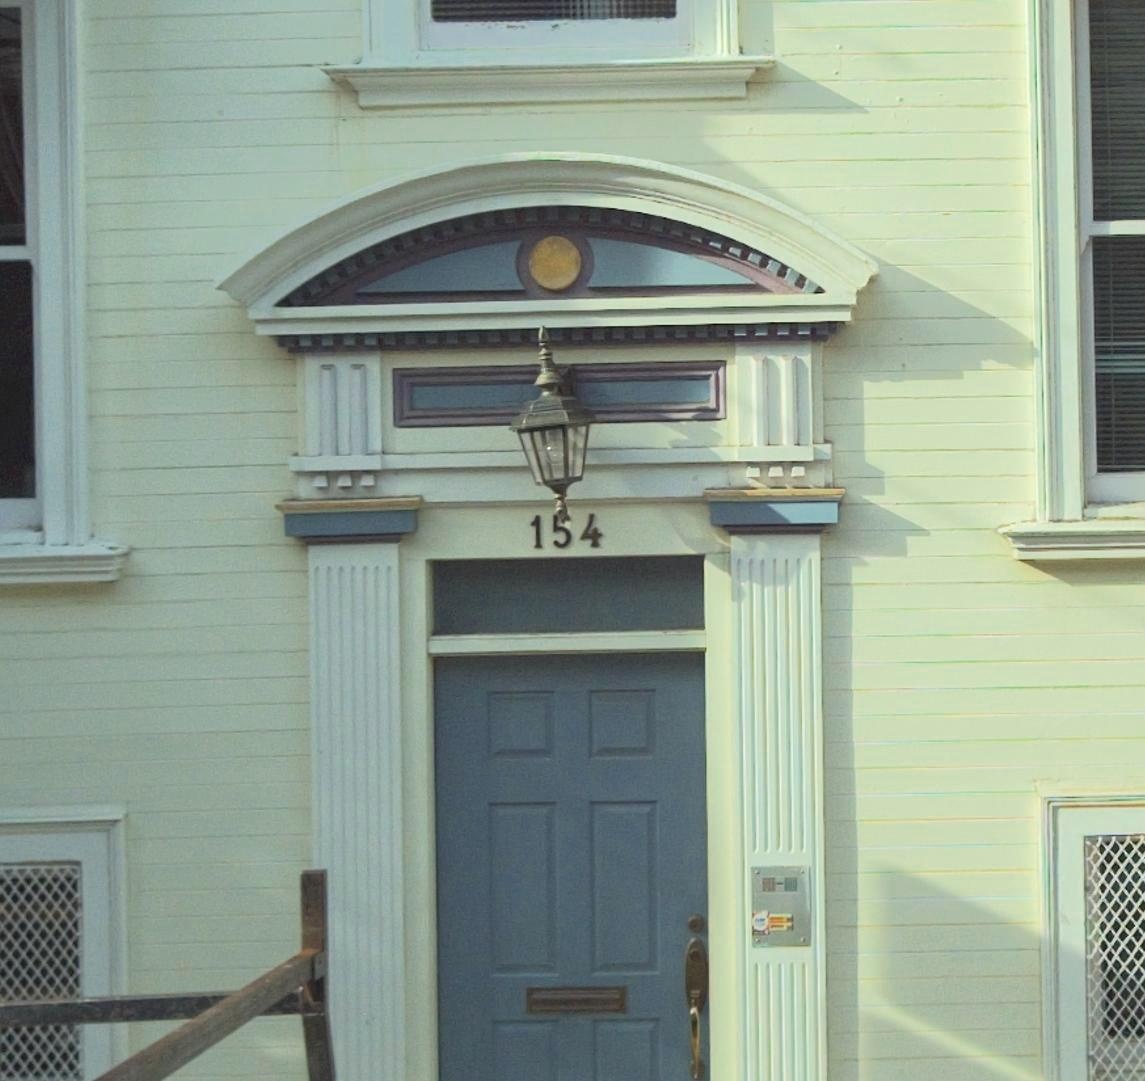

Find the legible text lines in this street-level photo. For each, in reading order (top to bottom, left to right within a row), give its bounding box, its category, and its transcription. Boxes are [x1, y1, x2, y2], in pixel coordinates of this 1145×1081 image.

[527, 511, 605, 552] StreetNumber: 154